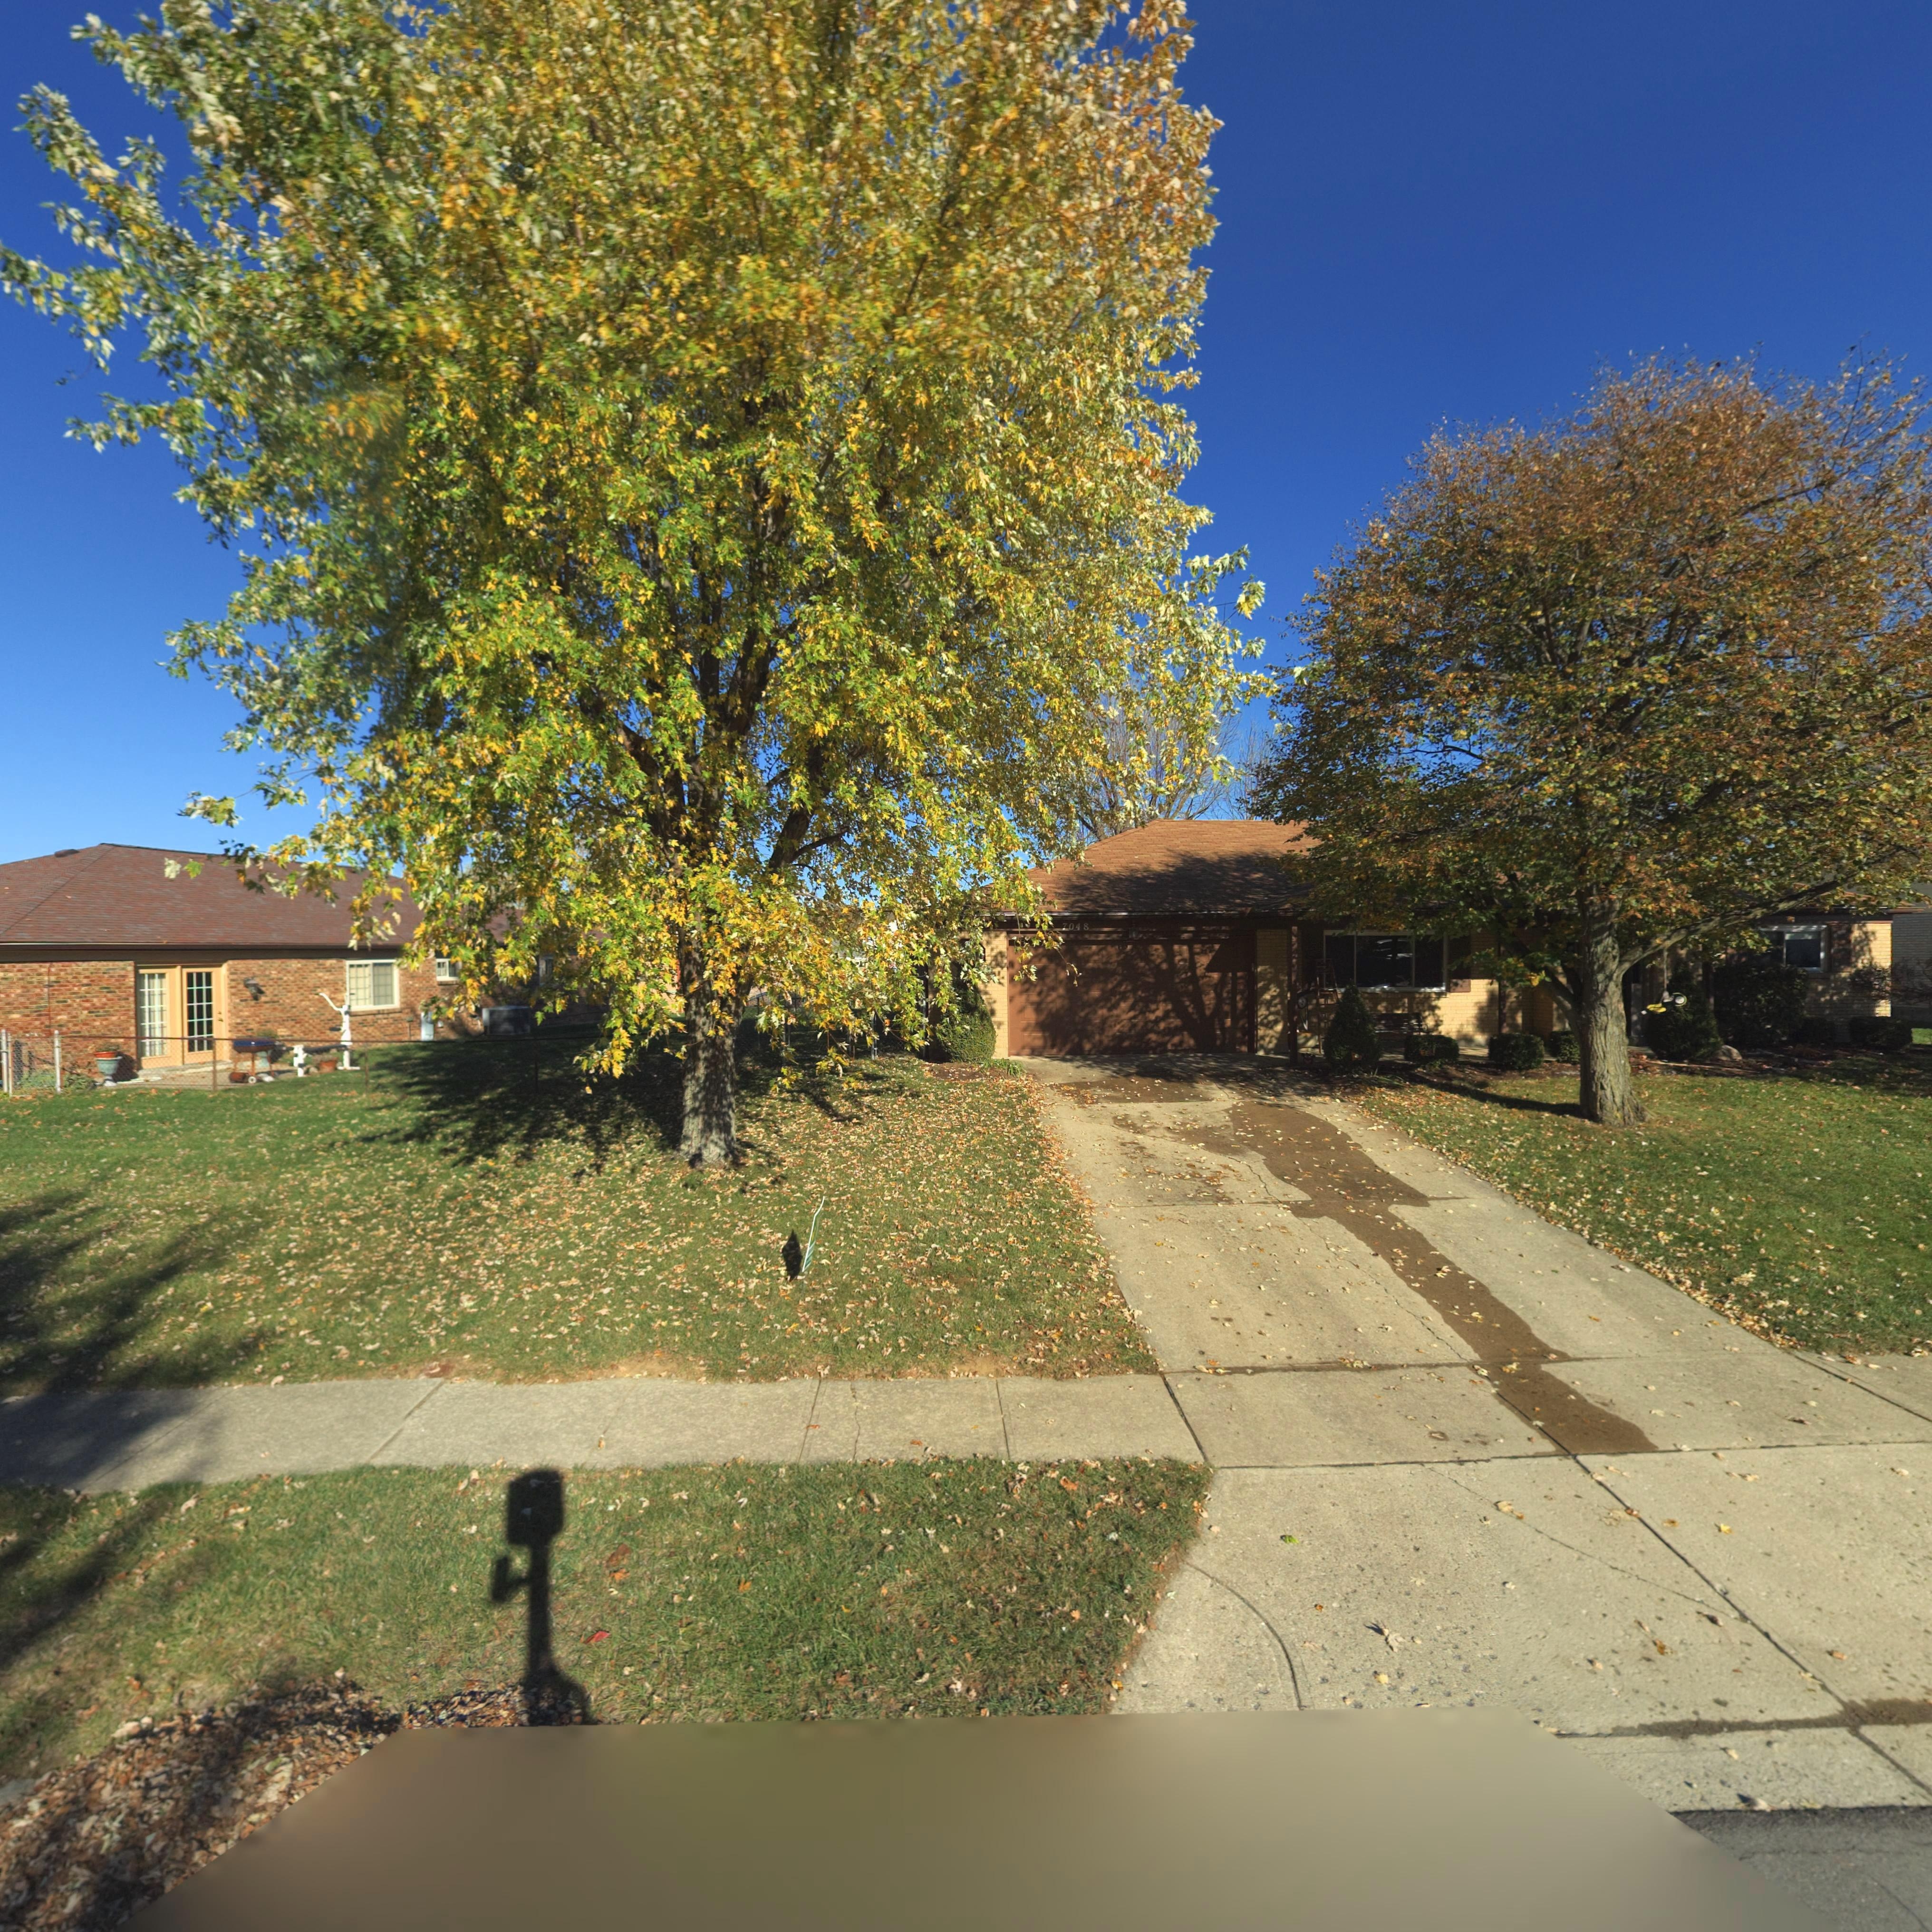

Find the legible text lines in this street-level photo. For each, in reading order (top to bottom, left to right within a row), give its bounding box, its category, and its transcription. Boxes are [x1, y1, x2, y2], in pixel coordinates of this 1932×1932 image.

[1062, 922, 1089, 931] StreetNumber: 7048